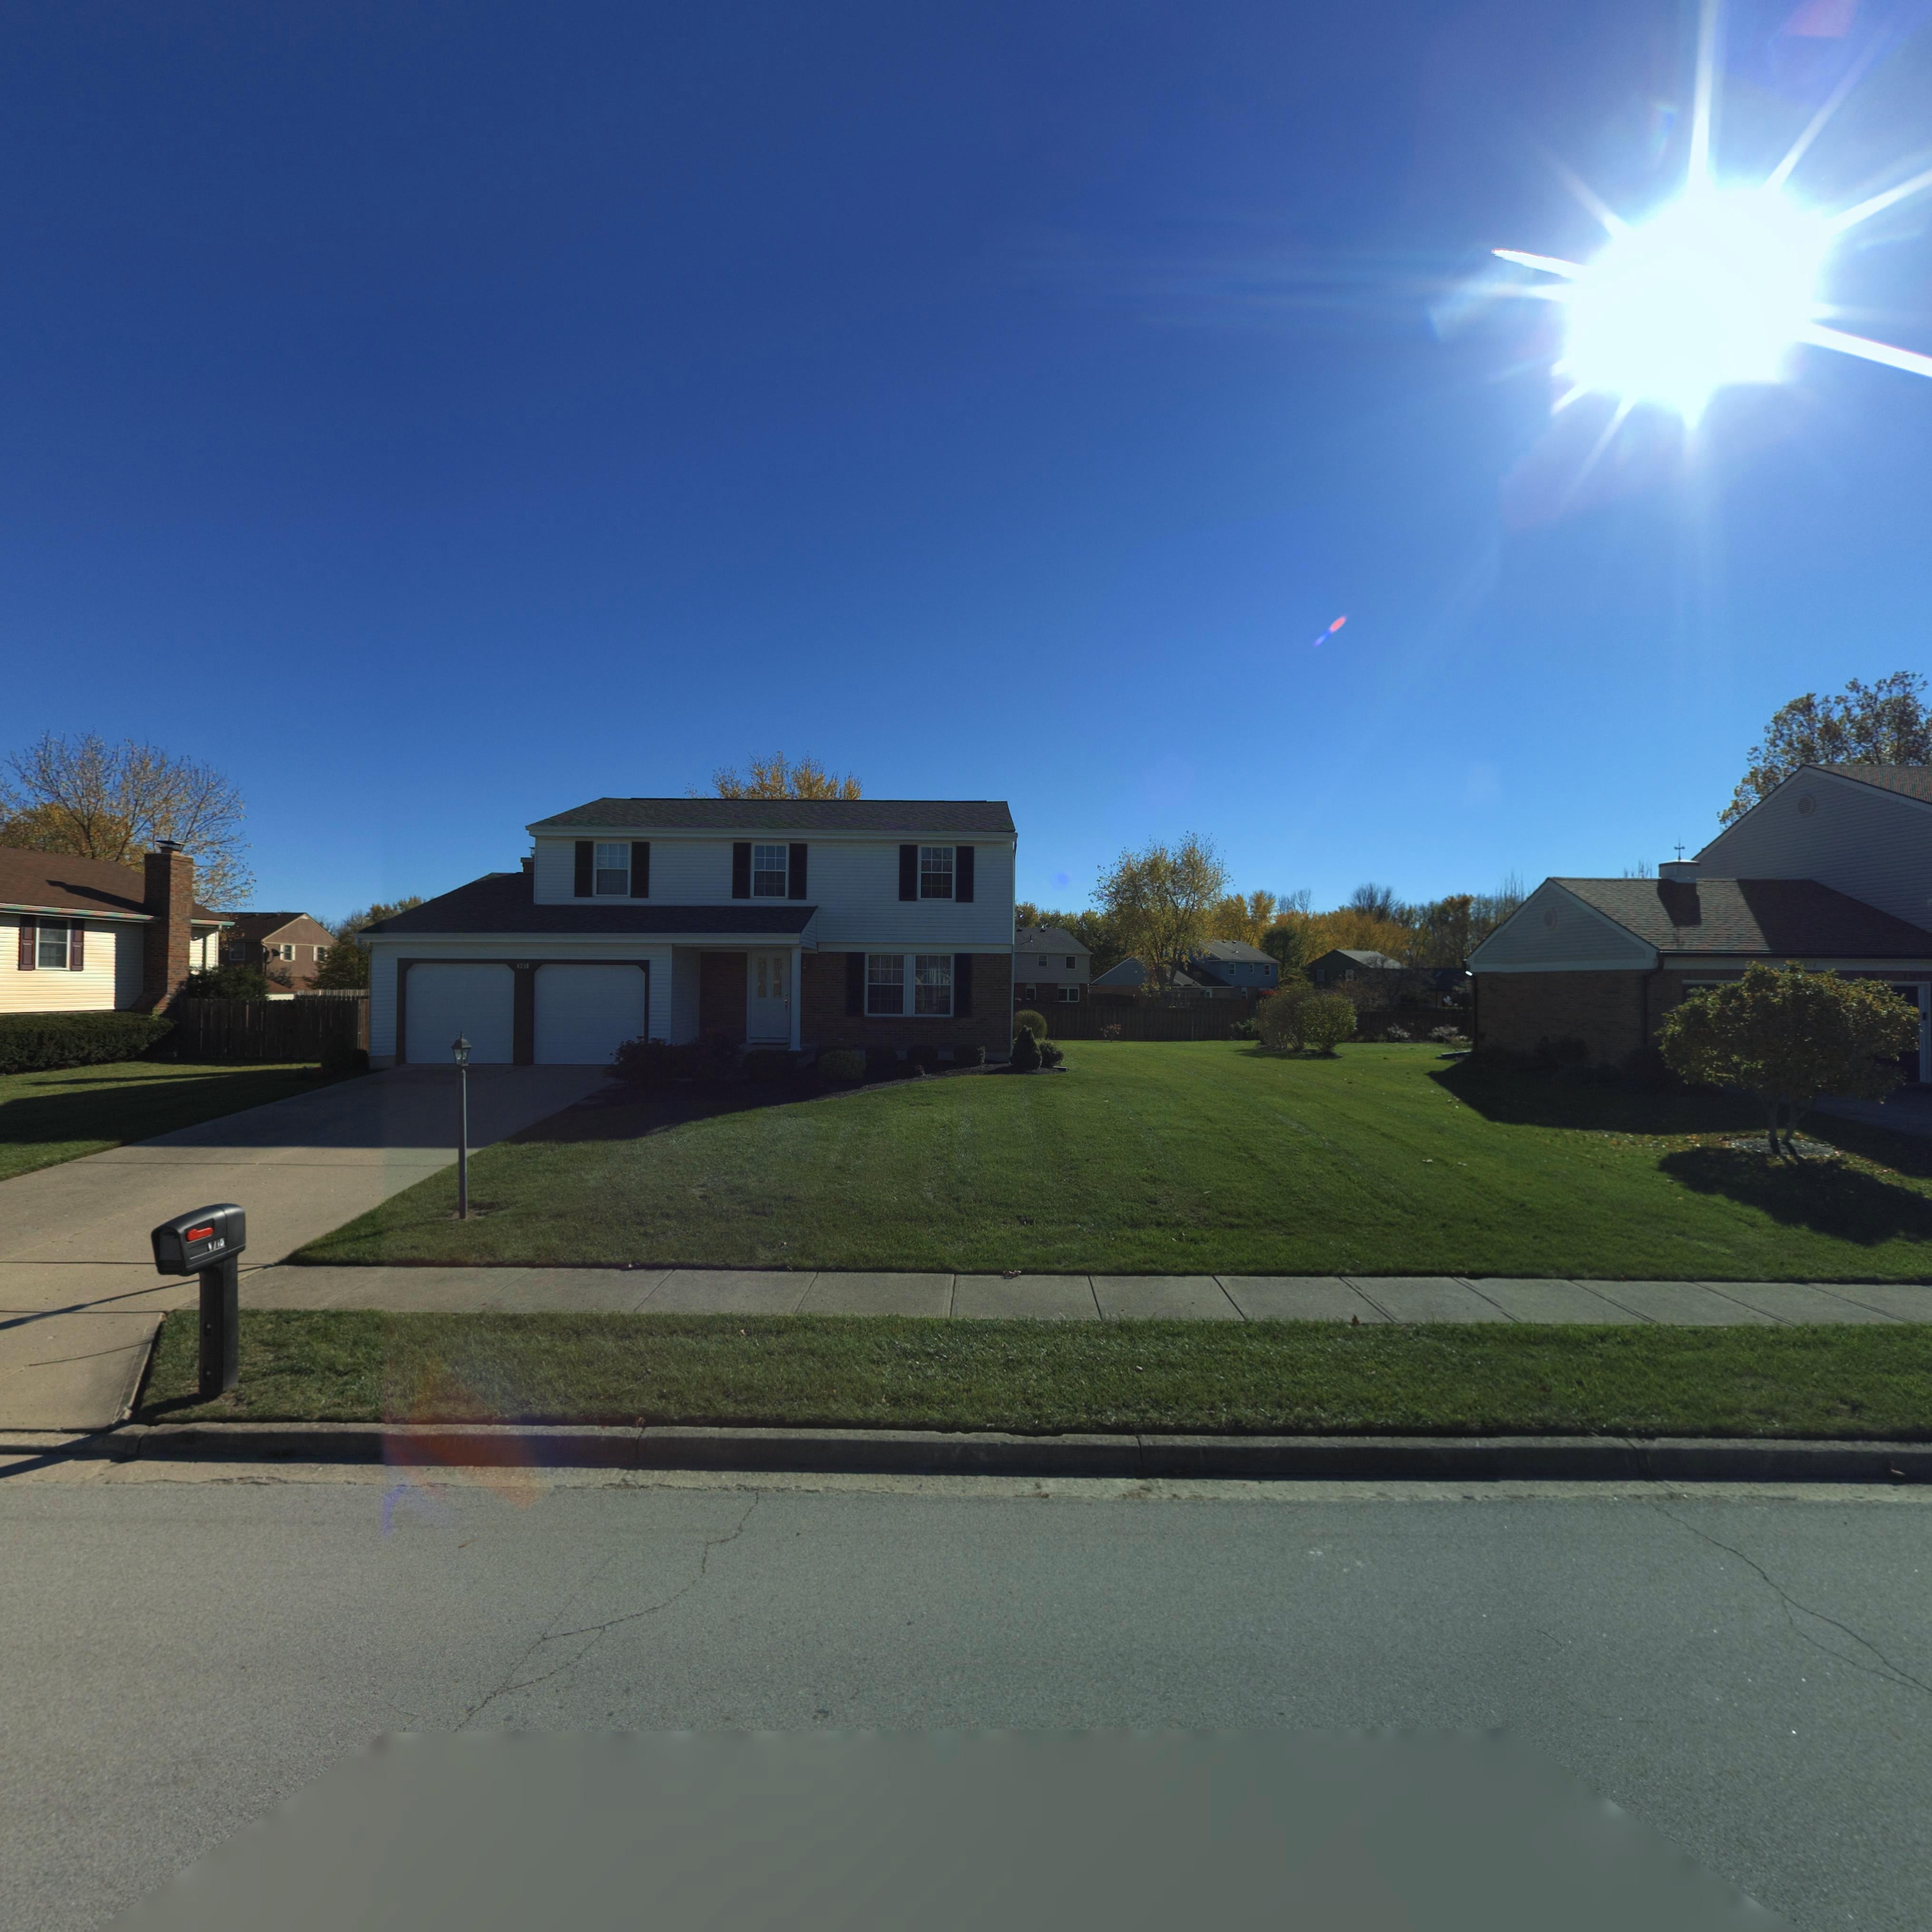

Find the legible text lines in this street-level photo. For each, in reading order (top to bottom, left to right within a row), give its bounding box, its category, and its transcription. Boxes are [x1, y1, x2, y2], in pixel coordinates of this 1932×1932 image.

[515, 962, 531, 970] StreetNumber: 421*